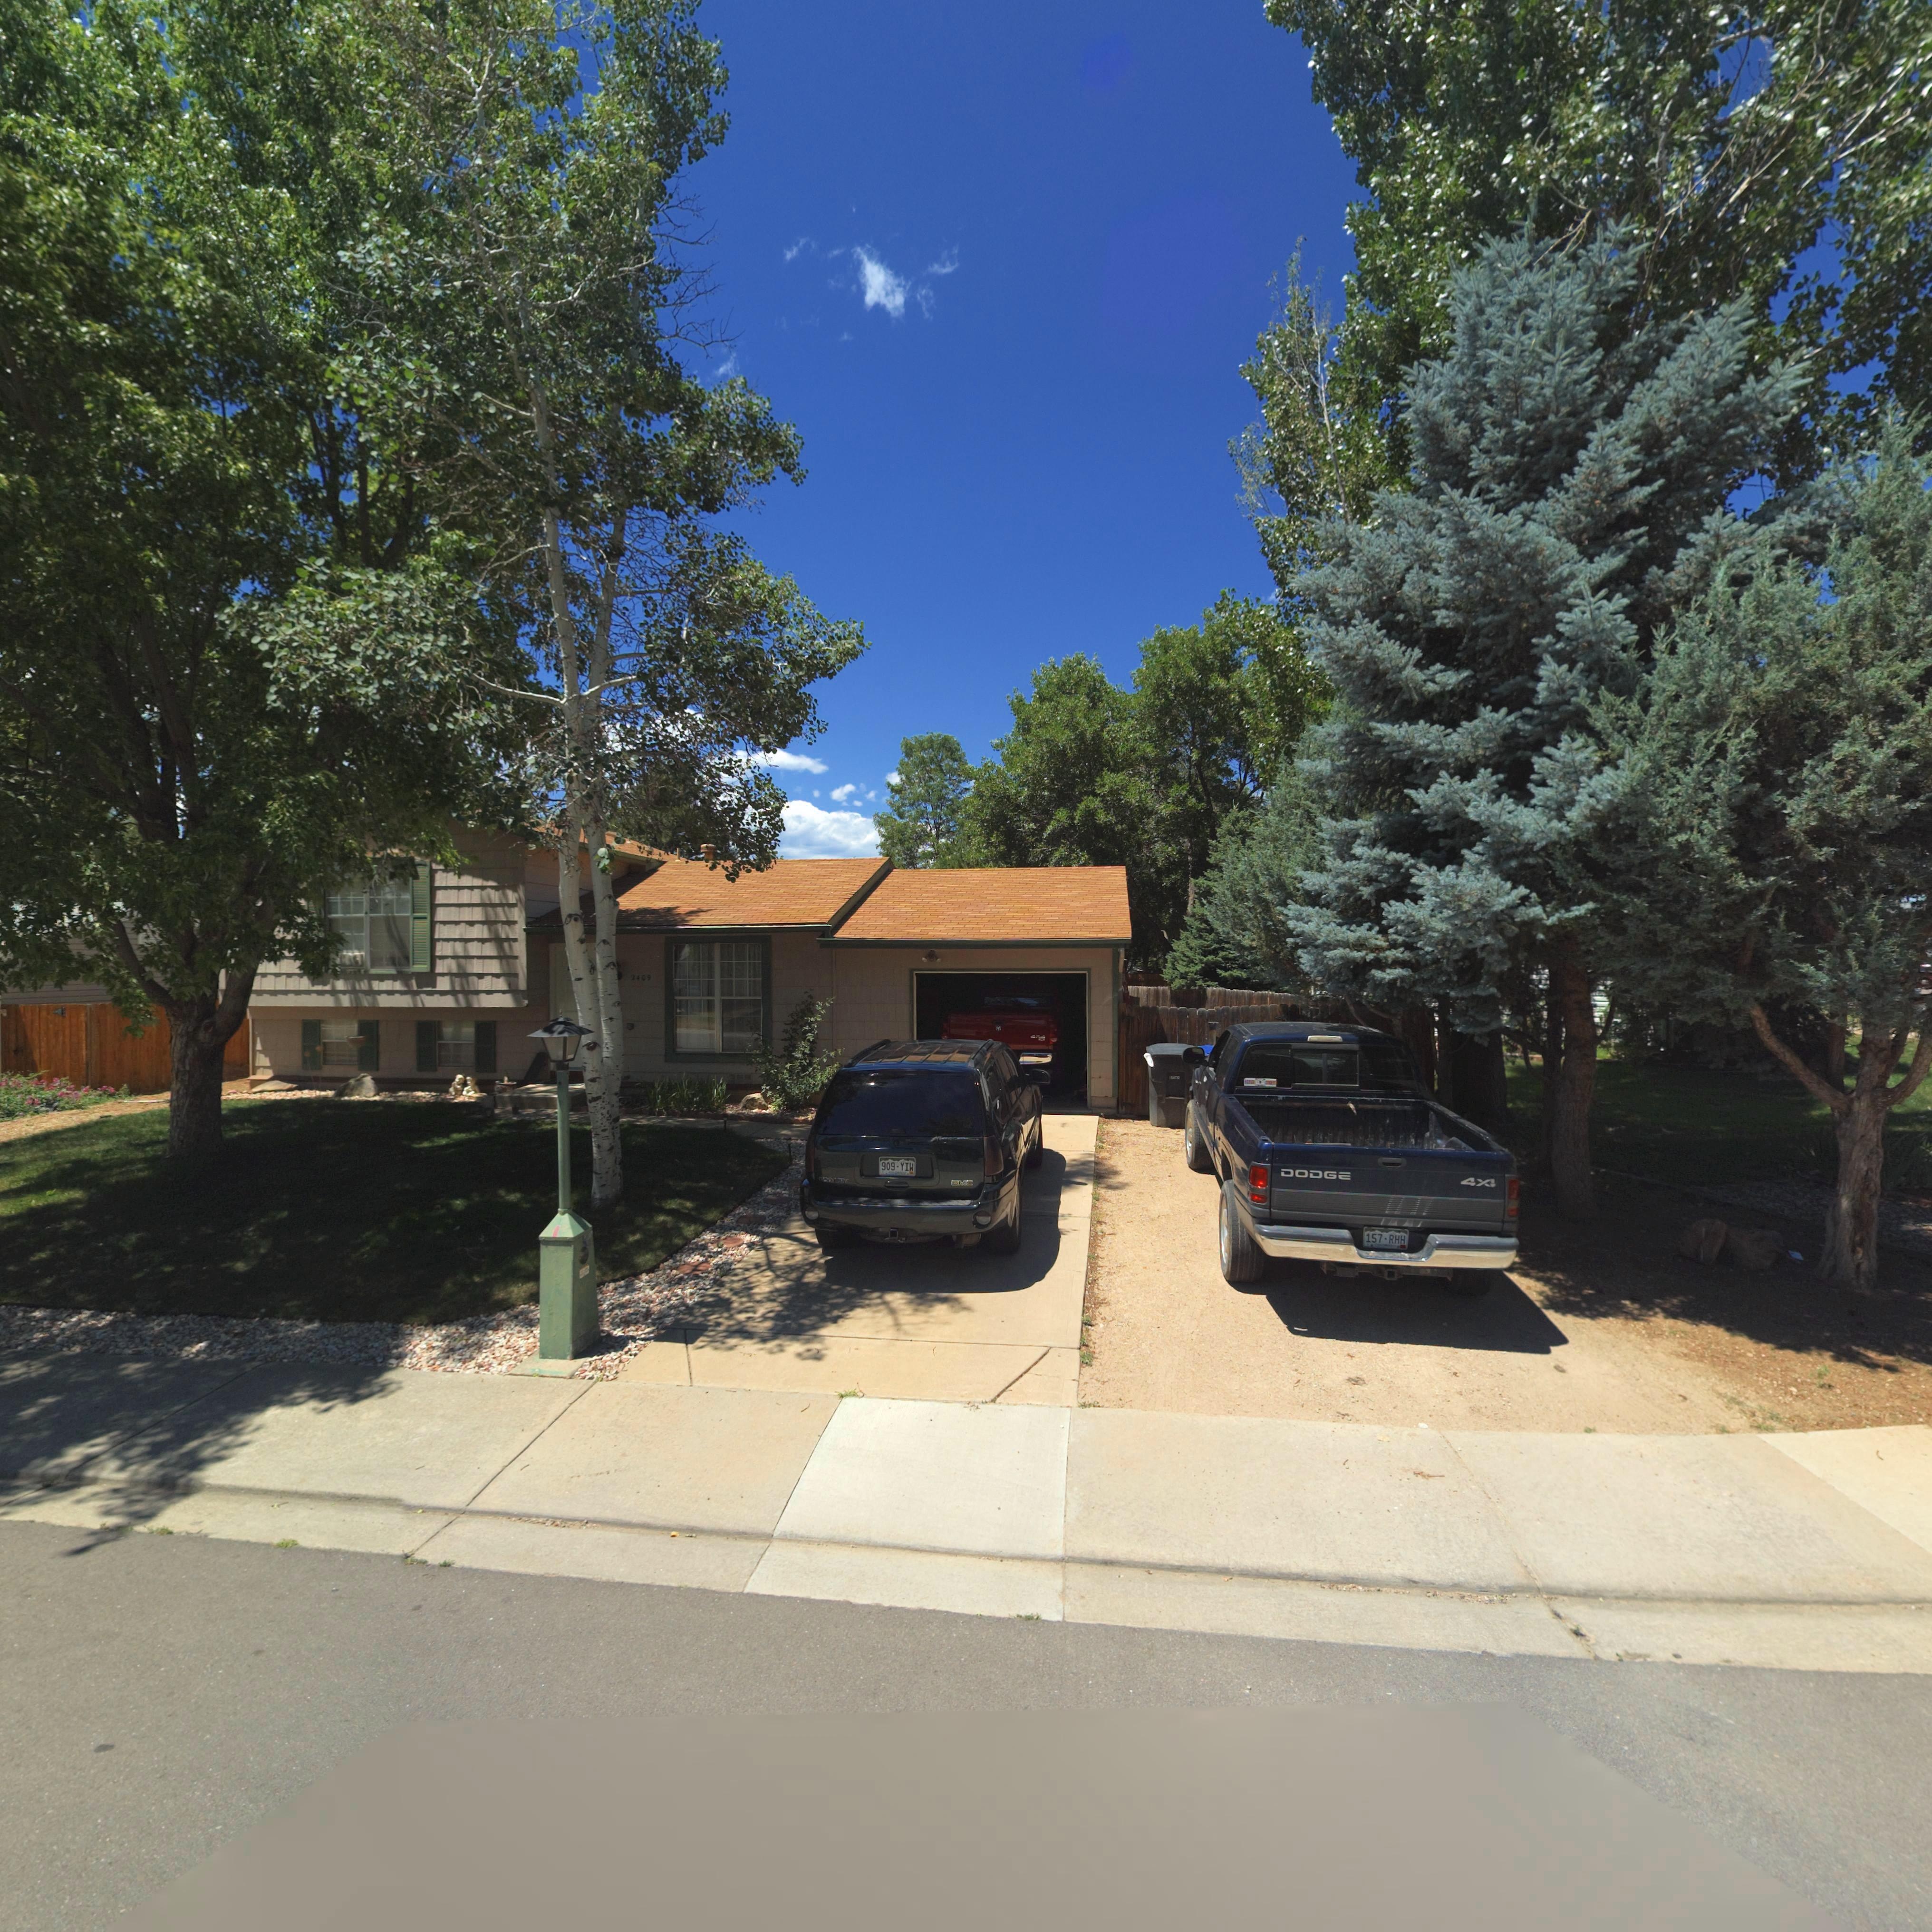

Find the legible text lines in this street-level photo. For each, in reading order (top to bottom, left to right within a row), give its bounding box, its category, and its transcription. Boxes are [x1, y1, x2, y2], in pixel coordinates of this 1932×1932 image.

[631, 975, 651, 981] StreetNumber: 3409